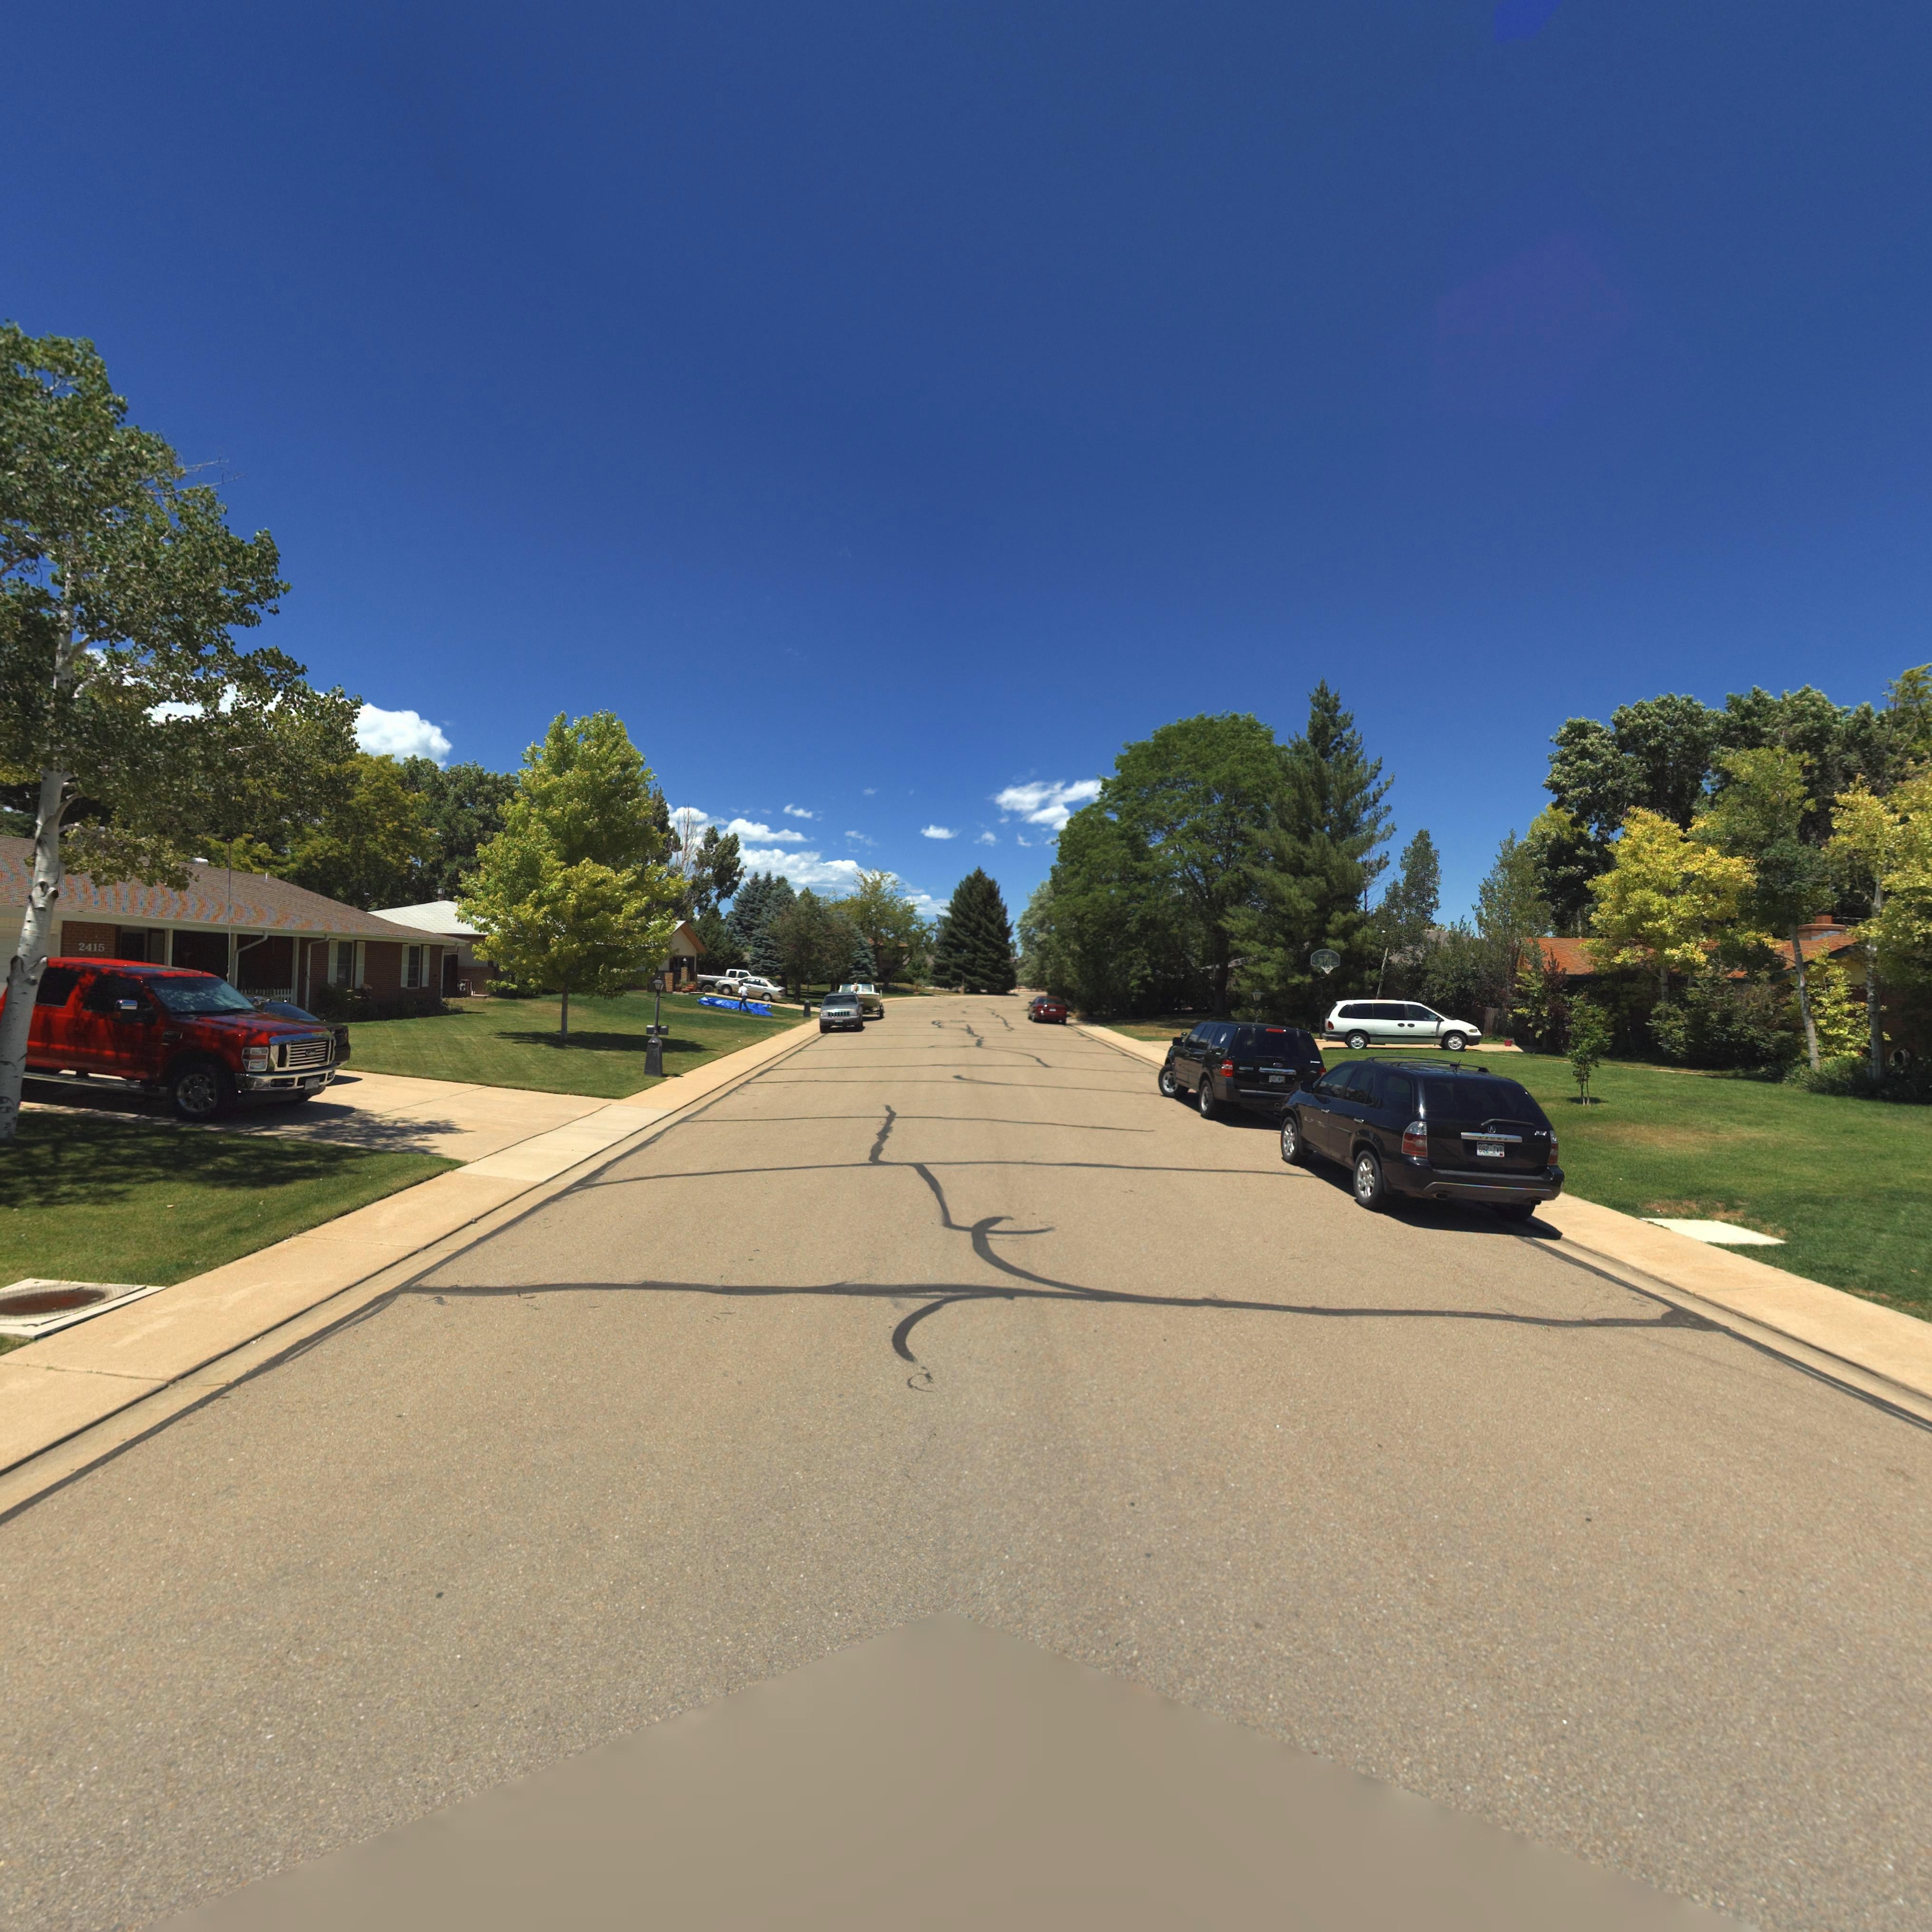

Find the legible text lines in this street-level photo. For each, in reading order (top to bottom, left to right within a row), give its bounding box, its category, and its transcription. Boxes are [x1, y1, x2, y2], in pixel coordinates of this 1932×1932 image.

[77, 942, 105, 952] StreetNumber: 2415